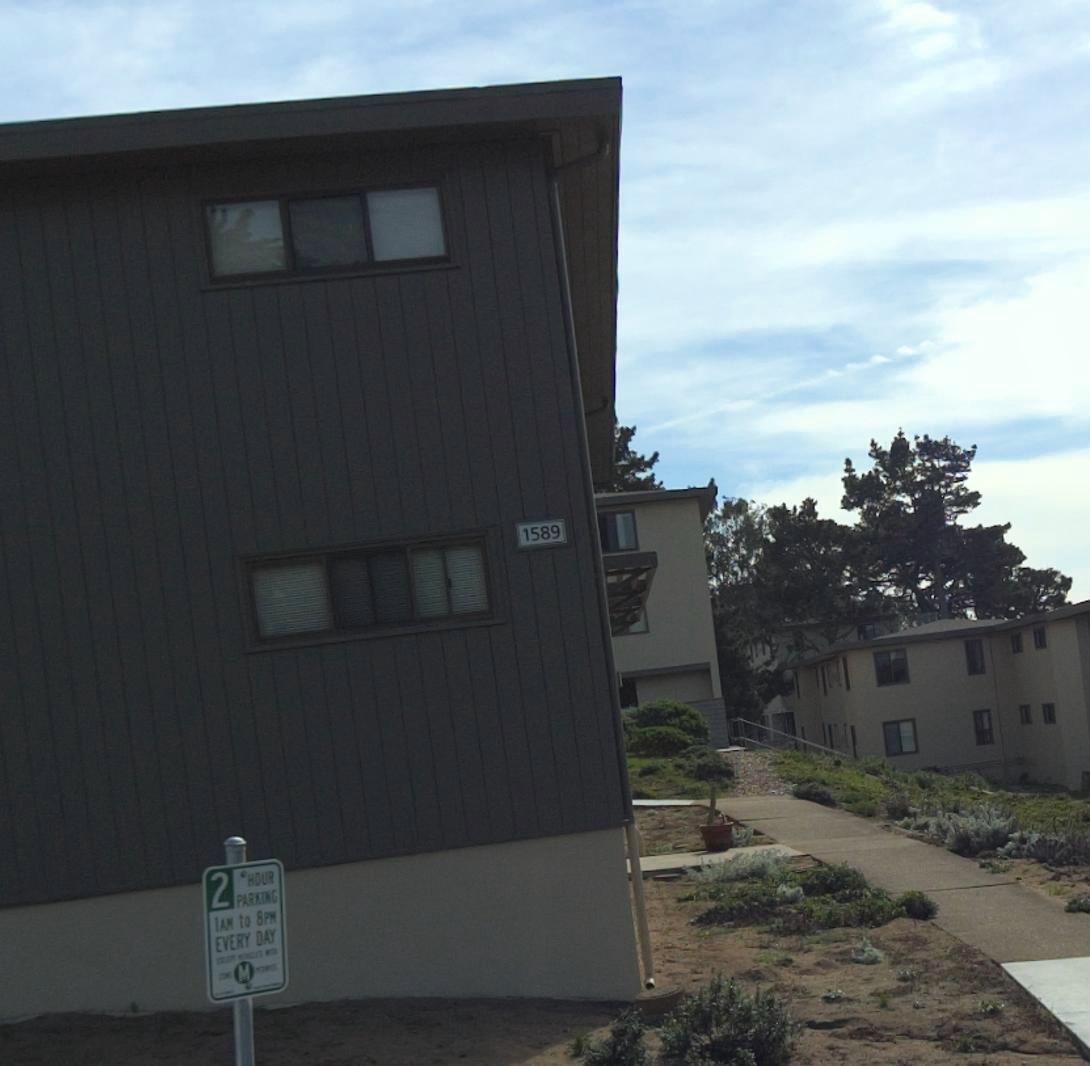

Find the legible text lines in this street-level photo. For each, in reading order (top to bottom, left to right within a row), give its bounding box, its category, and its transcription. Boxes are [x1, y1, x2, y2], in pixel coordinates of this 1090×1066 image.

[518, 521, 563, 545] StreetNumber: 1589
[207, 867, 233, 913] None: 2
[234, 886, 281, 912] None: PARKING
[245, 867, 279, 890] None: HOUR
[212, 906, 280, 937] None: 1AM to 8PM
[212, 924, 279, 957] None: EVERY DAY
[236, 960, 252, 985] None: M